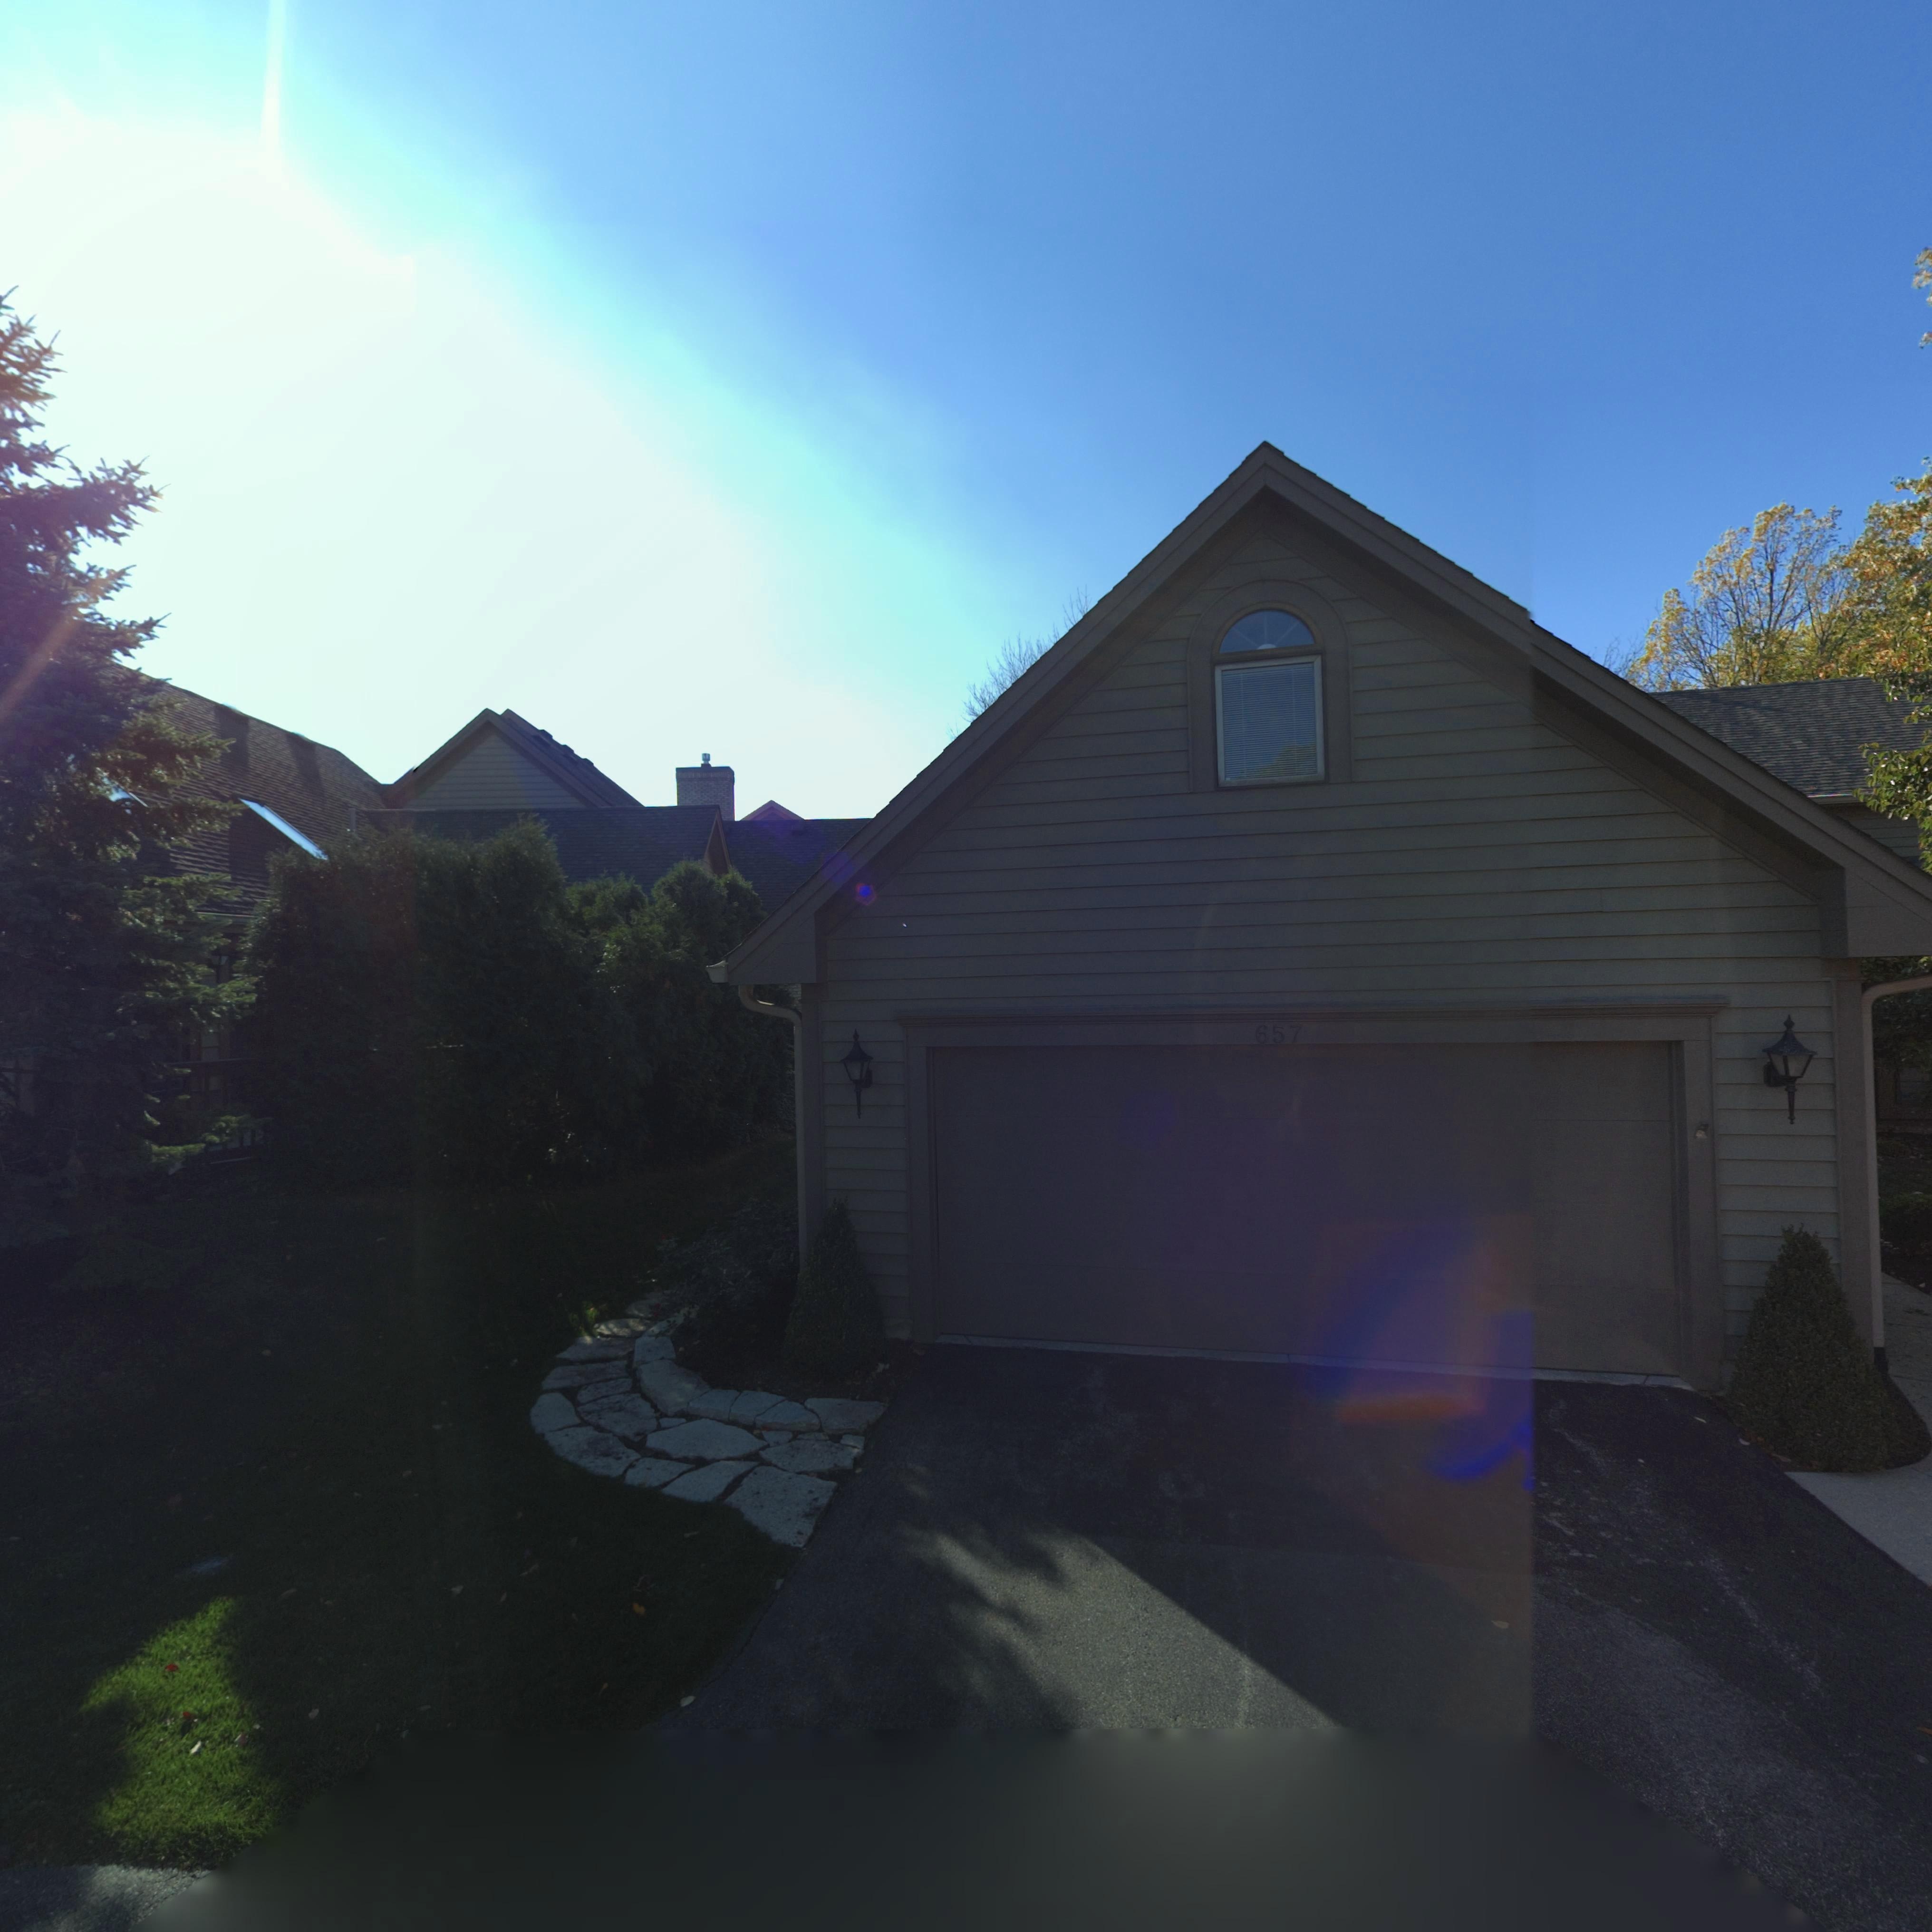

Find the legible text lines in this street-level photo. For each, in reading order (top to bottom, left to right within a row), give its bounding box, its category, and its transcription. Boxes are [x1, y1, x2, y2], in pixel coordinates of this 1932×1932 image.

[1253, 1023, 1304, 1047] StreetNumber: 657